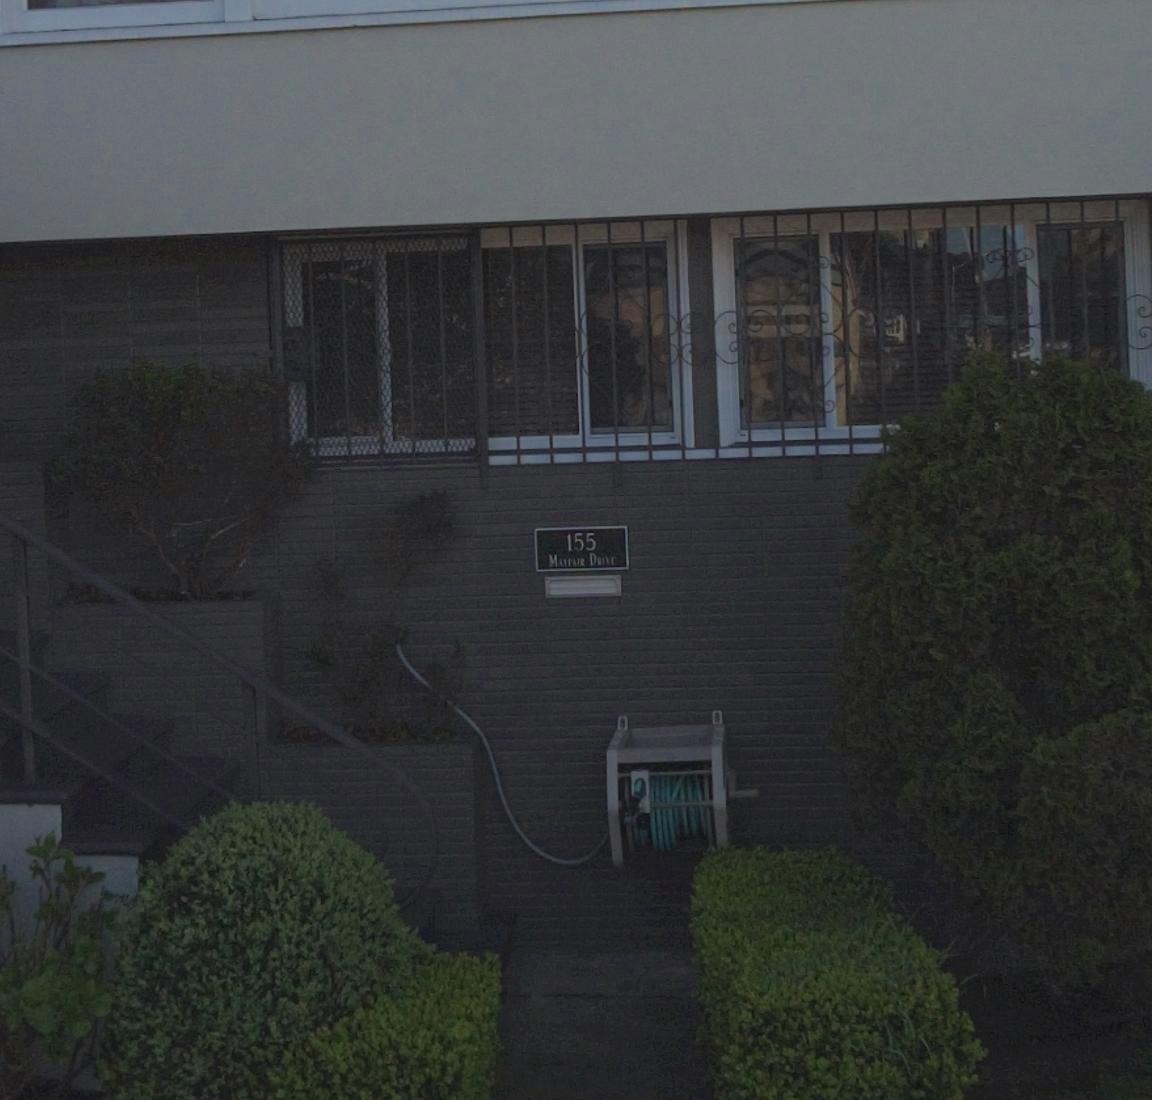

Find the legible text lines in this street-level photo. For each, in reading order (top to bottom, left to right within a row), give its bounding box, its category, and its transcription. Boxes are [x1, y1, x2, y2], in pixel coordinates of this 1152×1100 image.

[564, 531, 598, 553] StreetNumber: 155
[546, 551, 619, 570] StreetName: M***** DRIVE